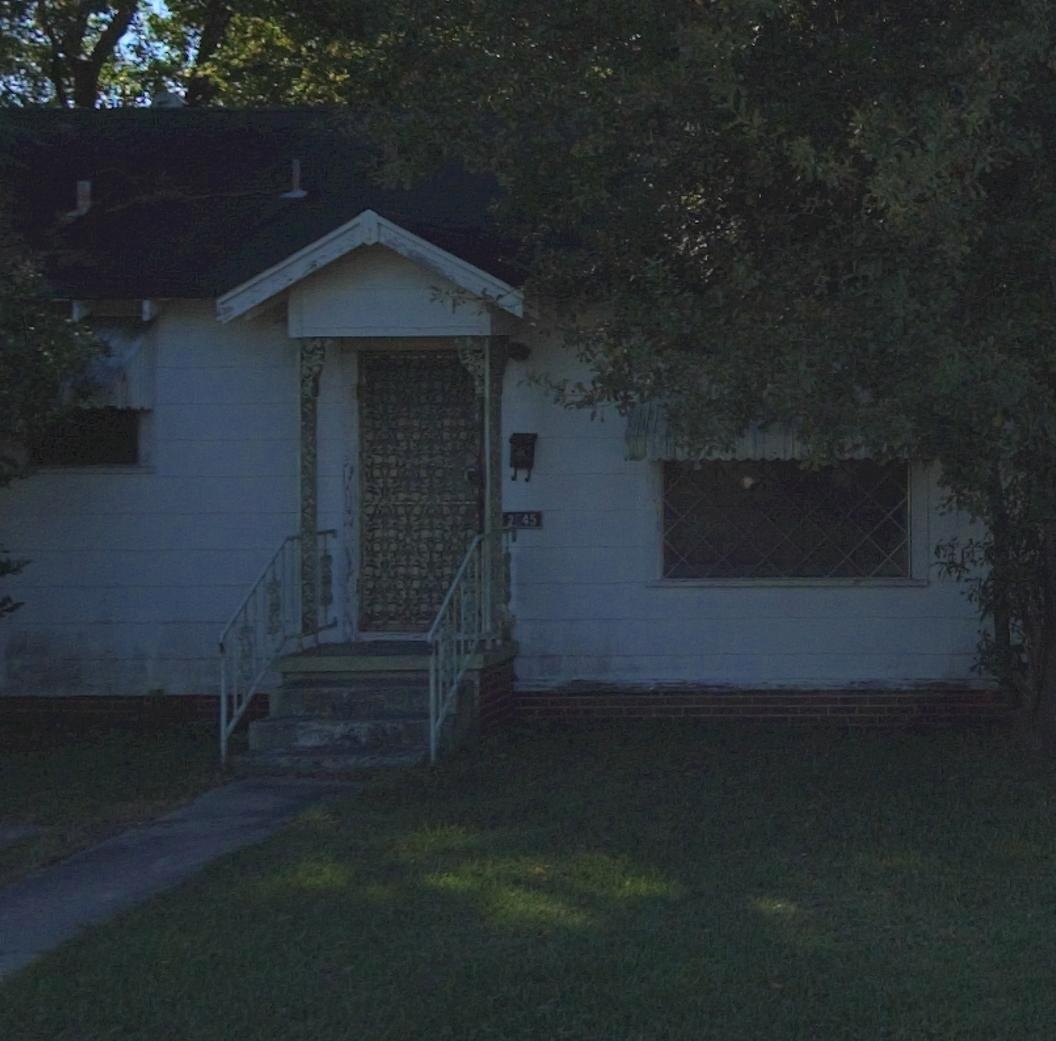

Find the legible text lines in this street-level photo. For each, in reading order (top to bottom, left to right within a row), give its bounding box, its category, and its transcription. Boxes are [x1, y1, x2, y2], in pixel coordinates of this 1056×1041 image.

[506, 513, 538, 527] StreetNumber: 2845